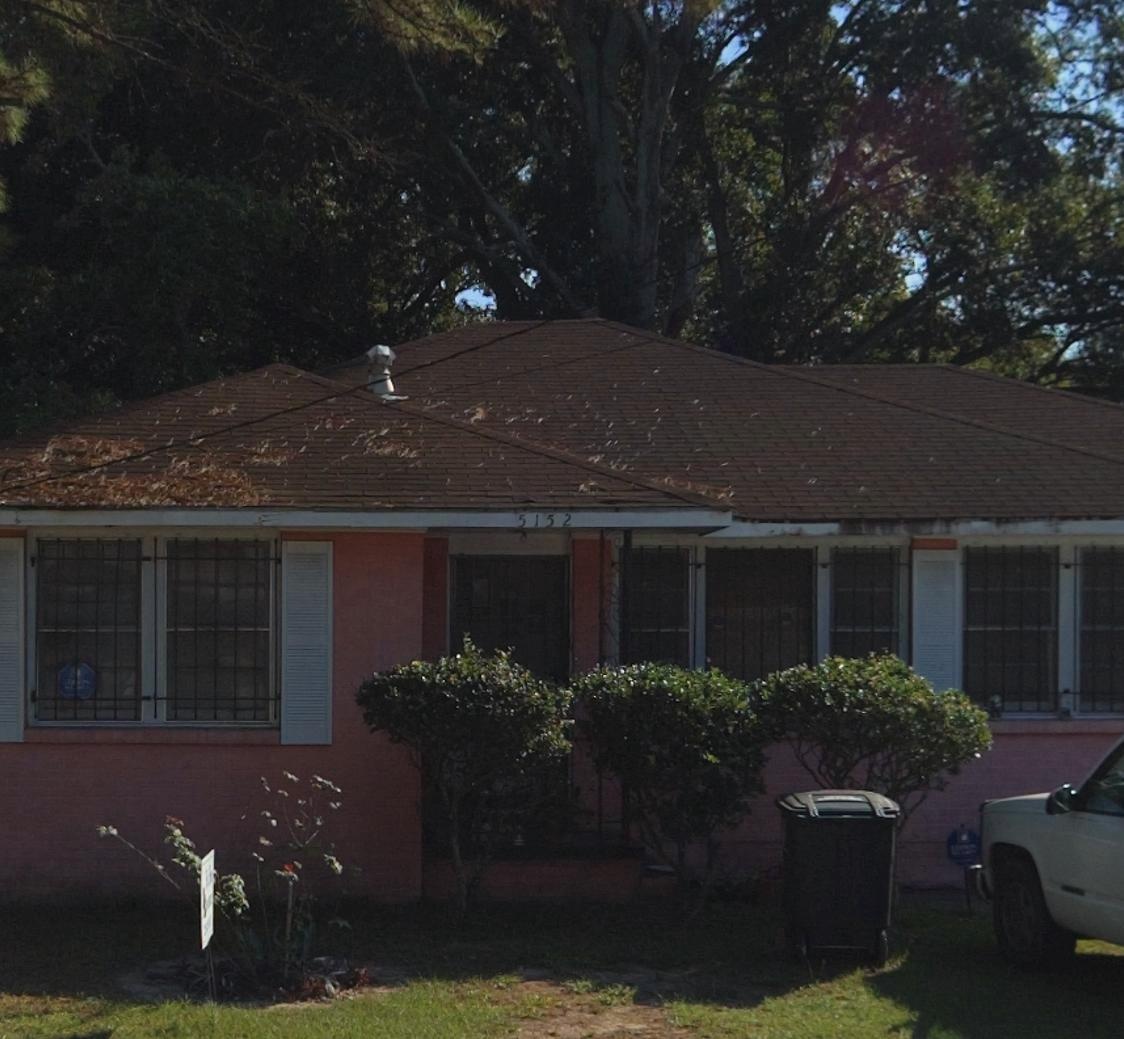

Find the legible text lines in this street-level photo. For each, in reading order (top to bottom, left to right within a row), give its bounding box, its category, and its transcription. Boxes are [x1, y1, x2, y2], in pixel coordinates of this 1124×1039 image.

[517, 513, 572, 528] StreetNumber: 5152